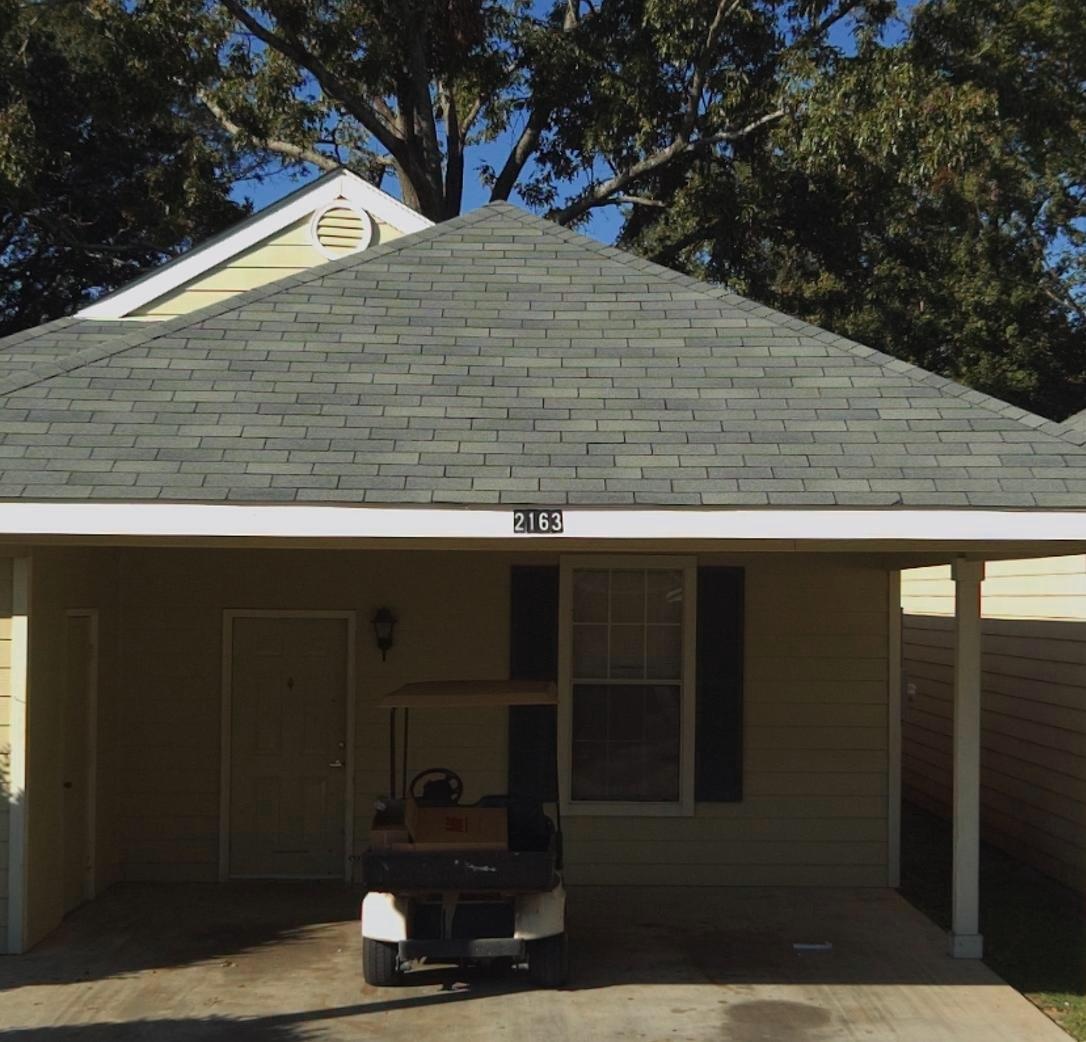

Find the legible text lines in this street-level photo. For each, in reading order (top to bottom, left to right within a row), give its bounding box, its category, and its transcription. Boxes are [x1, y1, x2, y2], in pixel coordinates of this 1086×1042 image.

[514, 511, 563, 532] StreetNumber: 2163